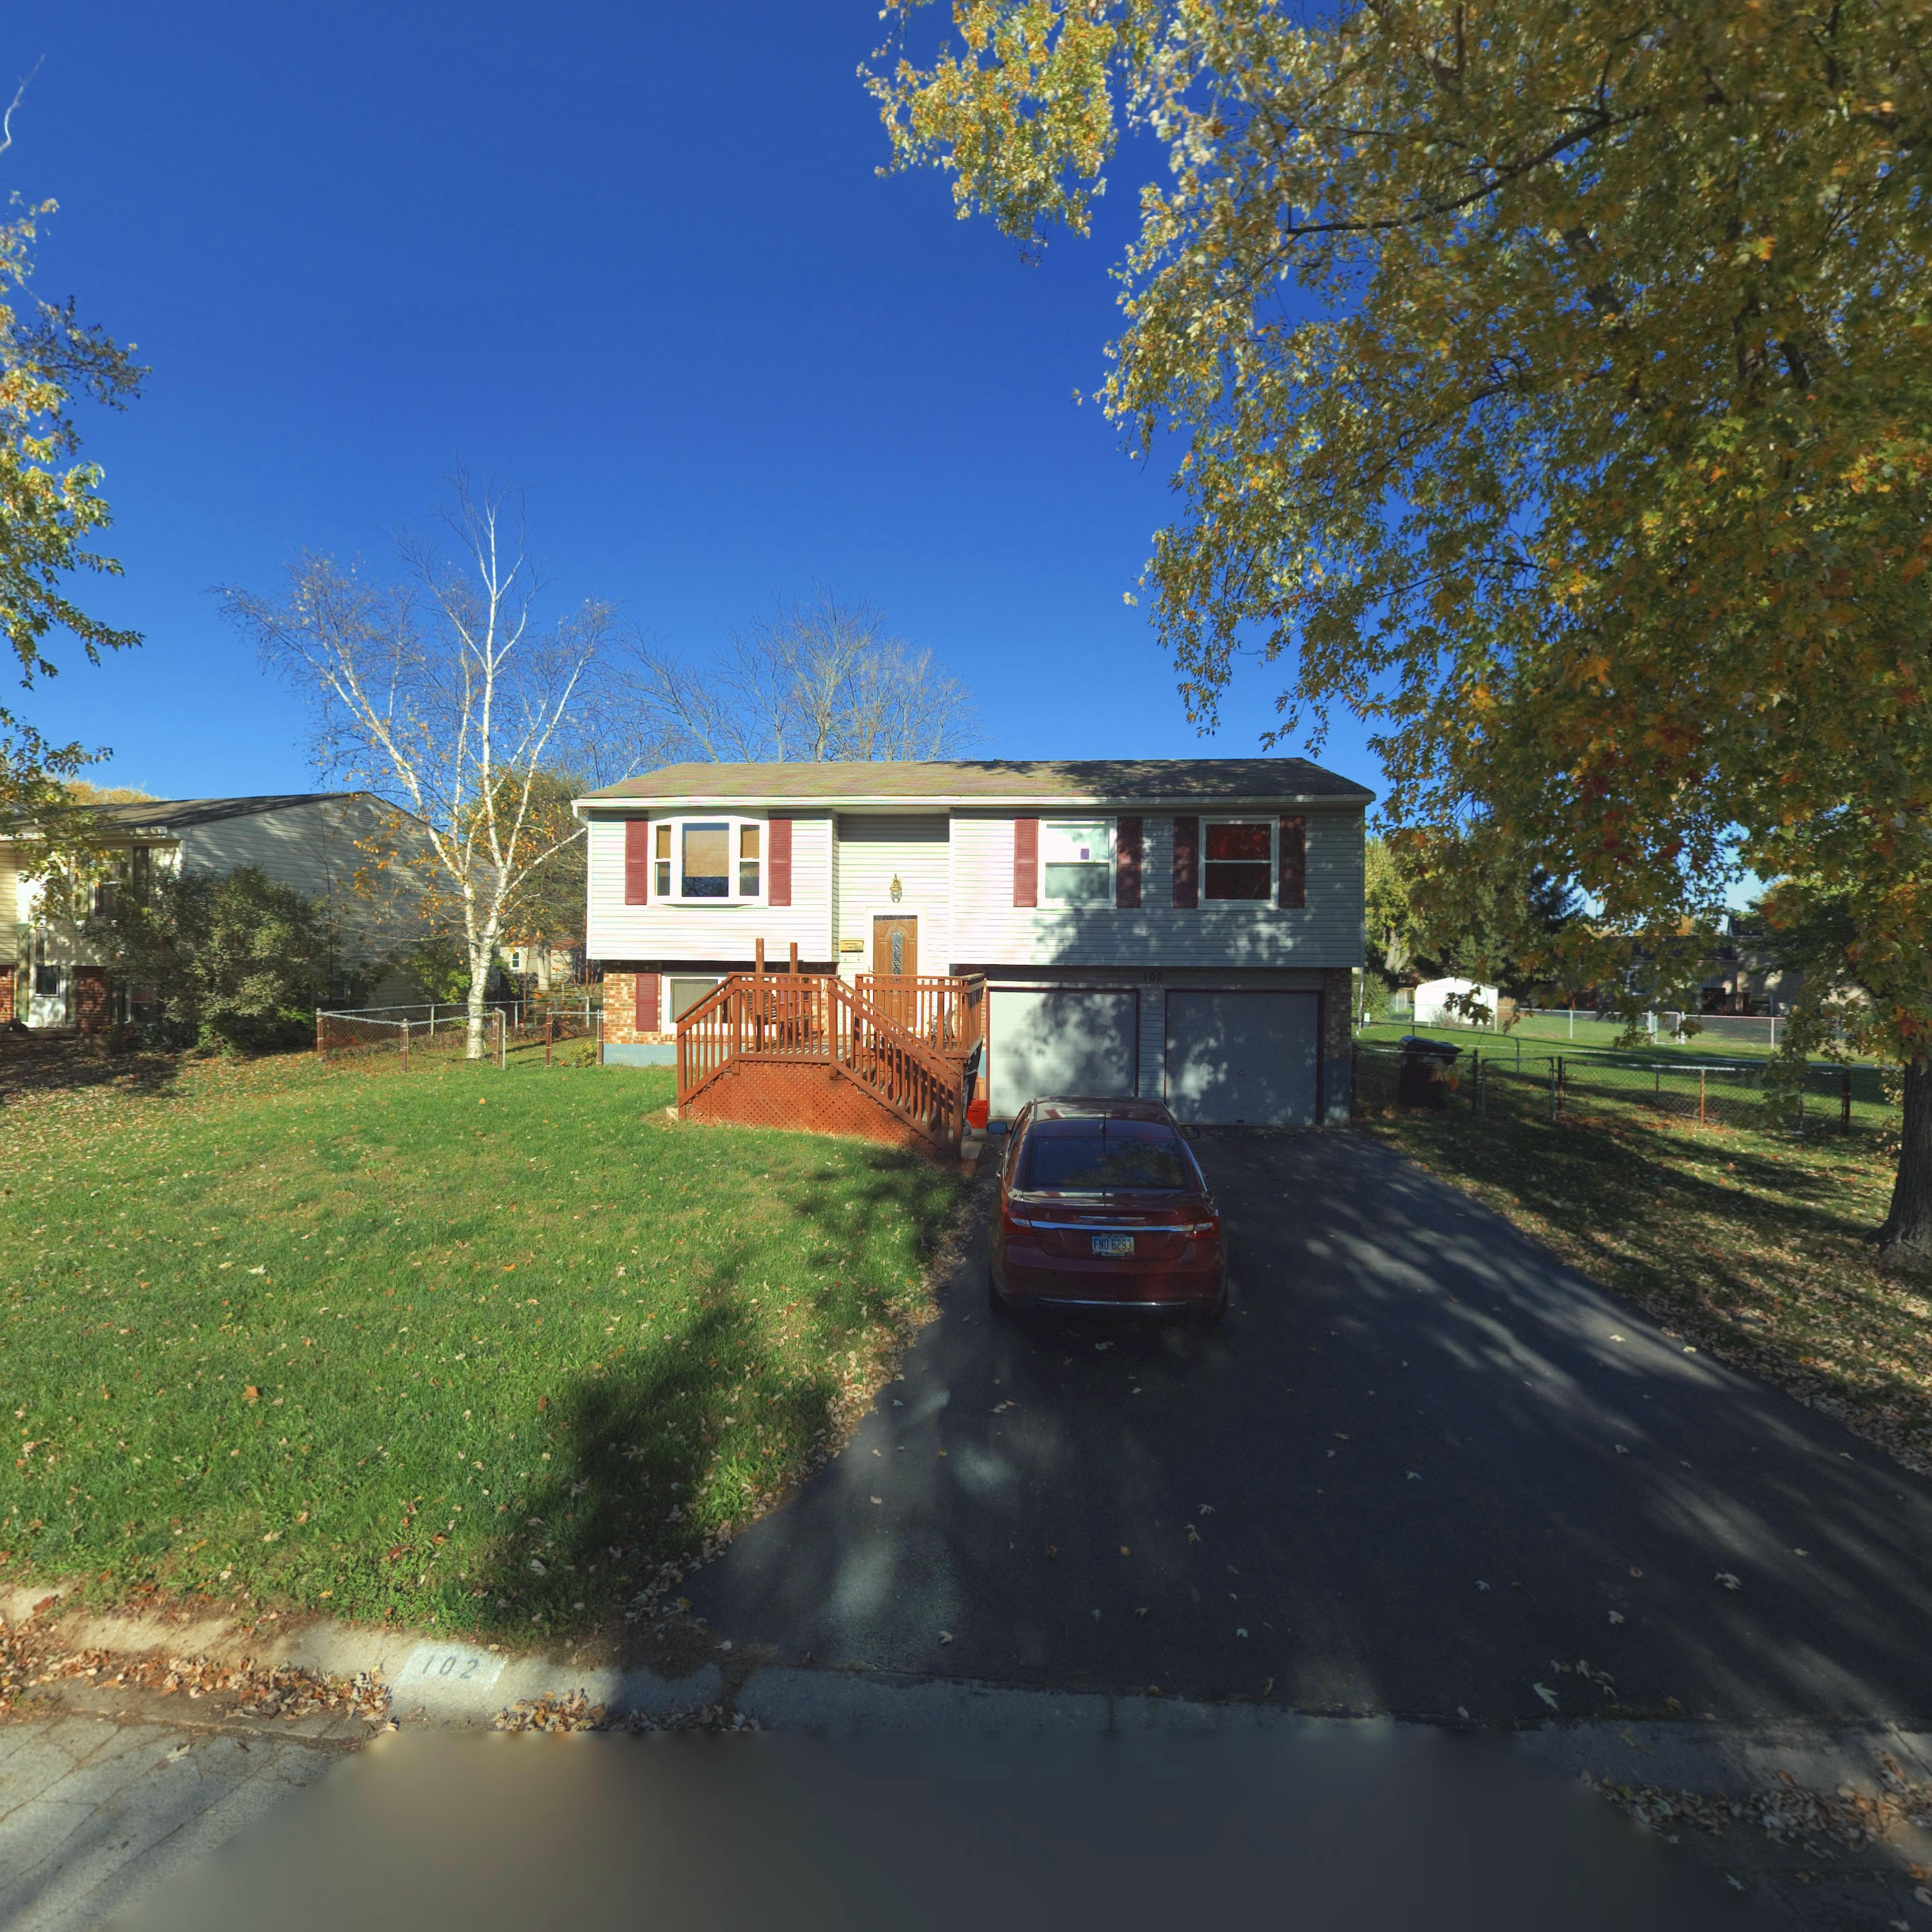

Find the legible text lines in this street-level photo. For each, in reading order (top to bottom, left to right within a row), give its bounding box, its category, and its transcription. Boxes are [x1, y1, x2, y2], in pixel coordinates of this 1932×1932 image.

[1143, 972, 1163, 982] StreetNumber: 102
[419, 1653, 481, 1681] StreetNumber: 102